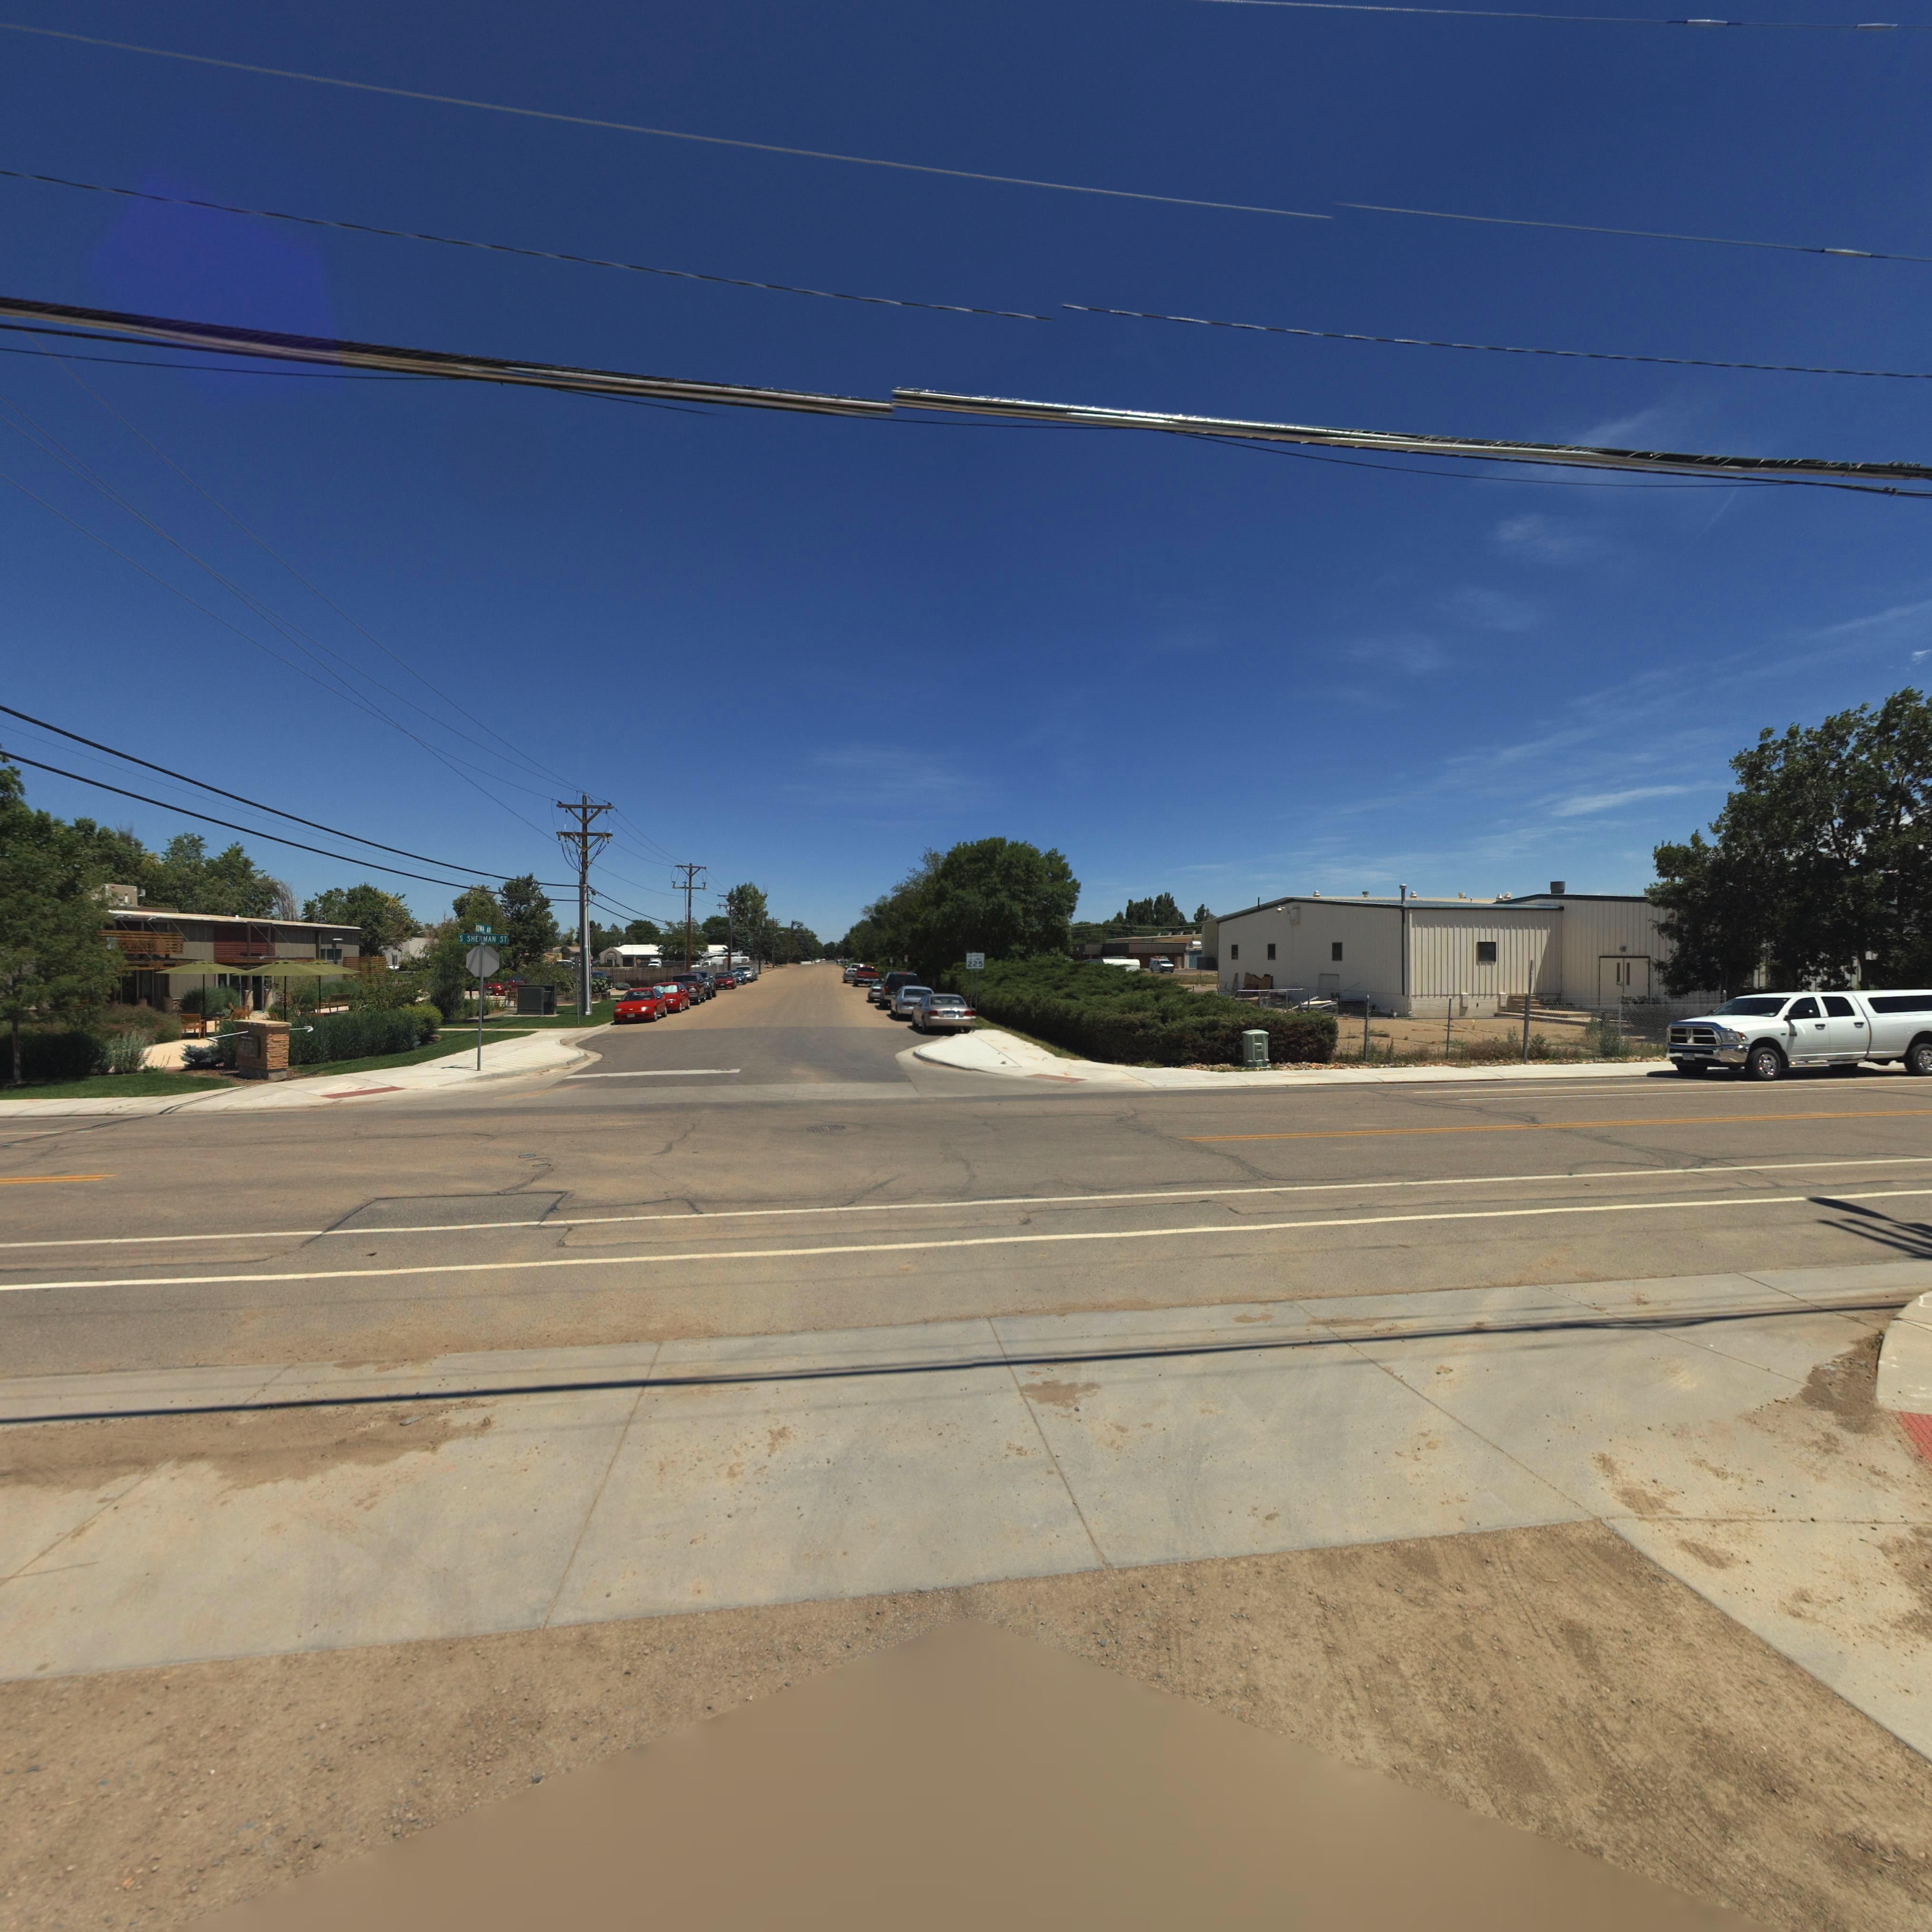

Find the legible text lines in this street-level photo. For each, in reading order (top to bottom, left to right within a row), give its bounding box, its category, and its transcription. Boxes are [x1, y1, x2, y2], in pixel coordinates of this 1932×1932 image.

[475, 924, 491, 933] BusinessName: IOWA AV
[459, 935, 507, 943] StreetName: S SHERMAN ST